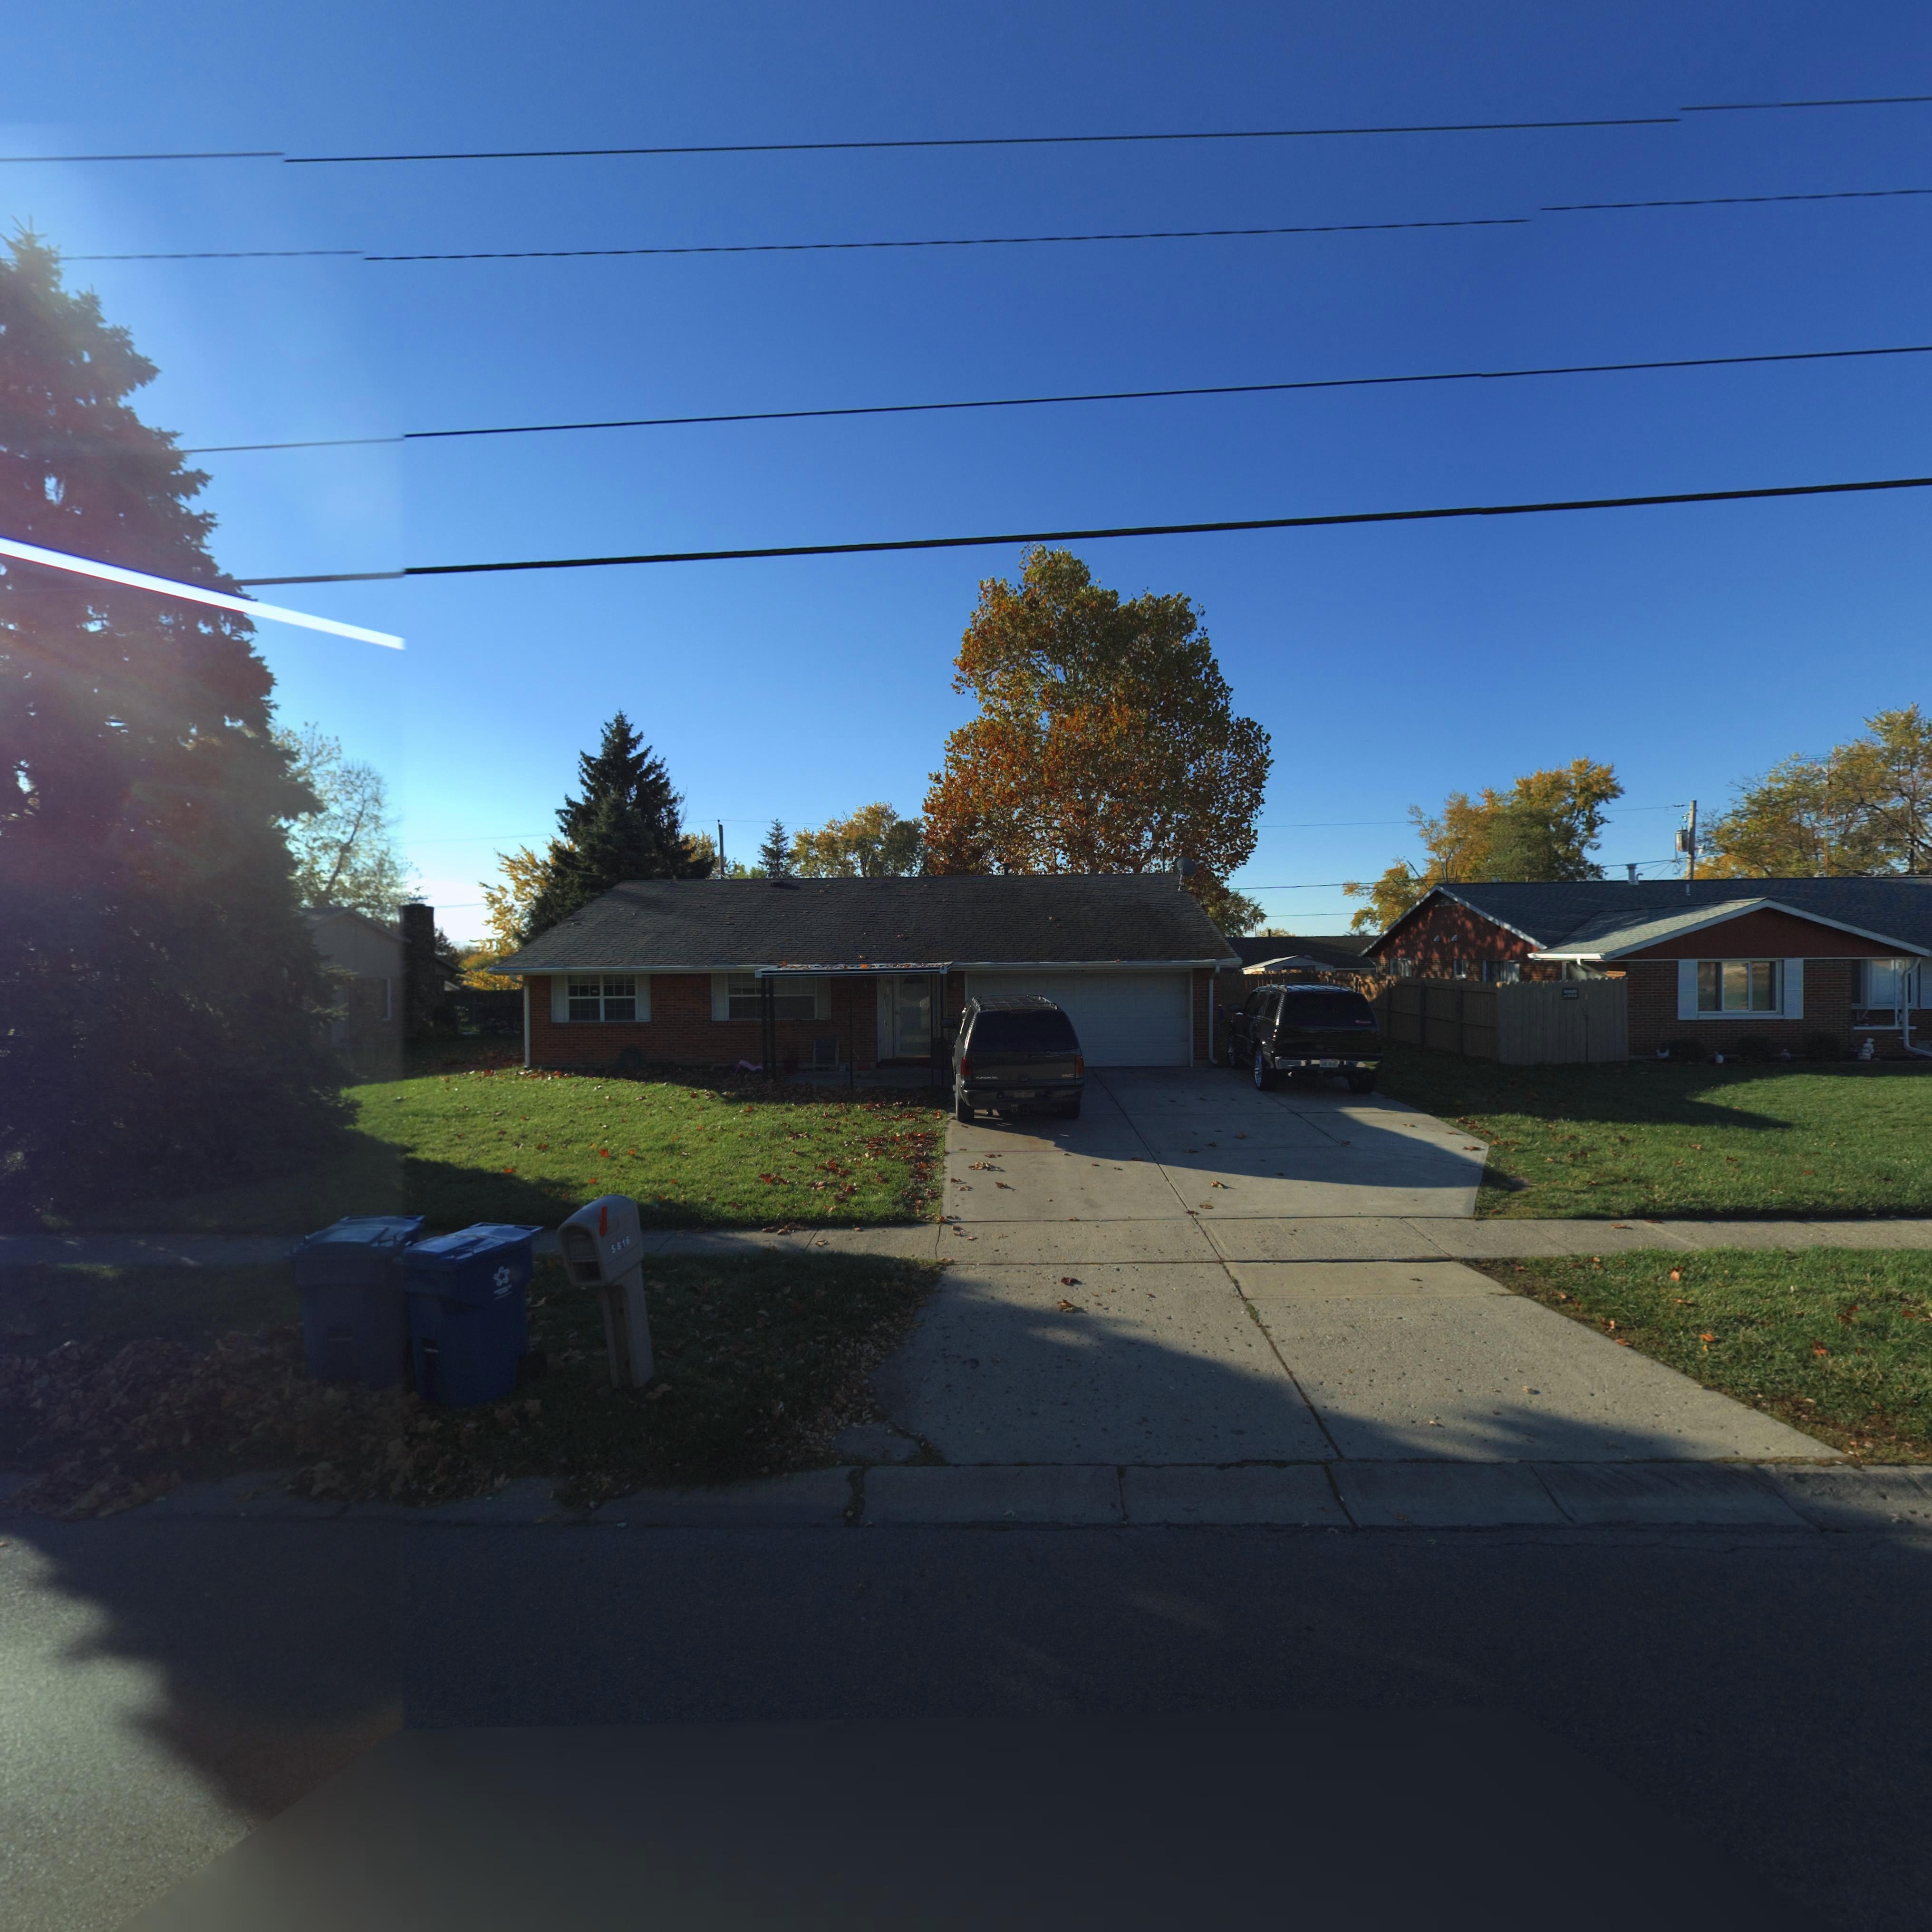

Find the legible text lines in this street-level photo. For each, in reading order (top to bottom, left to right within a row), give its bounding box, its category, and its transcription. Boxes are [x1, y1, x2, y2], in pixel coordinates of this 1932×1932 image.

[609, 1235, 631, 1255] StreetNumber: 5816